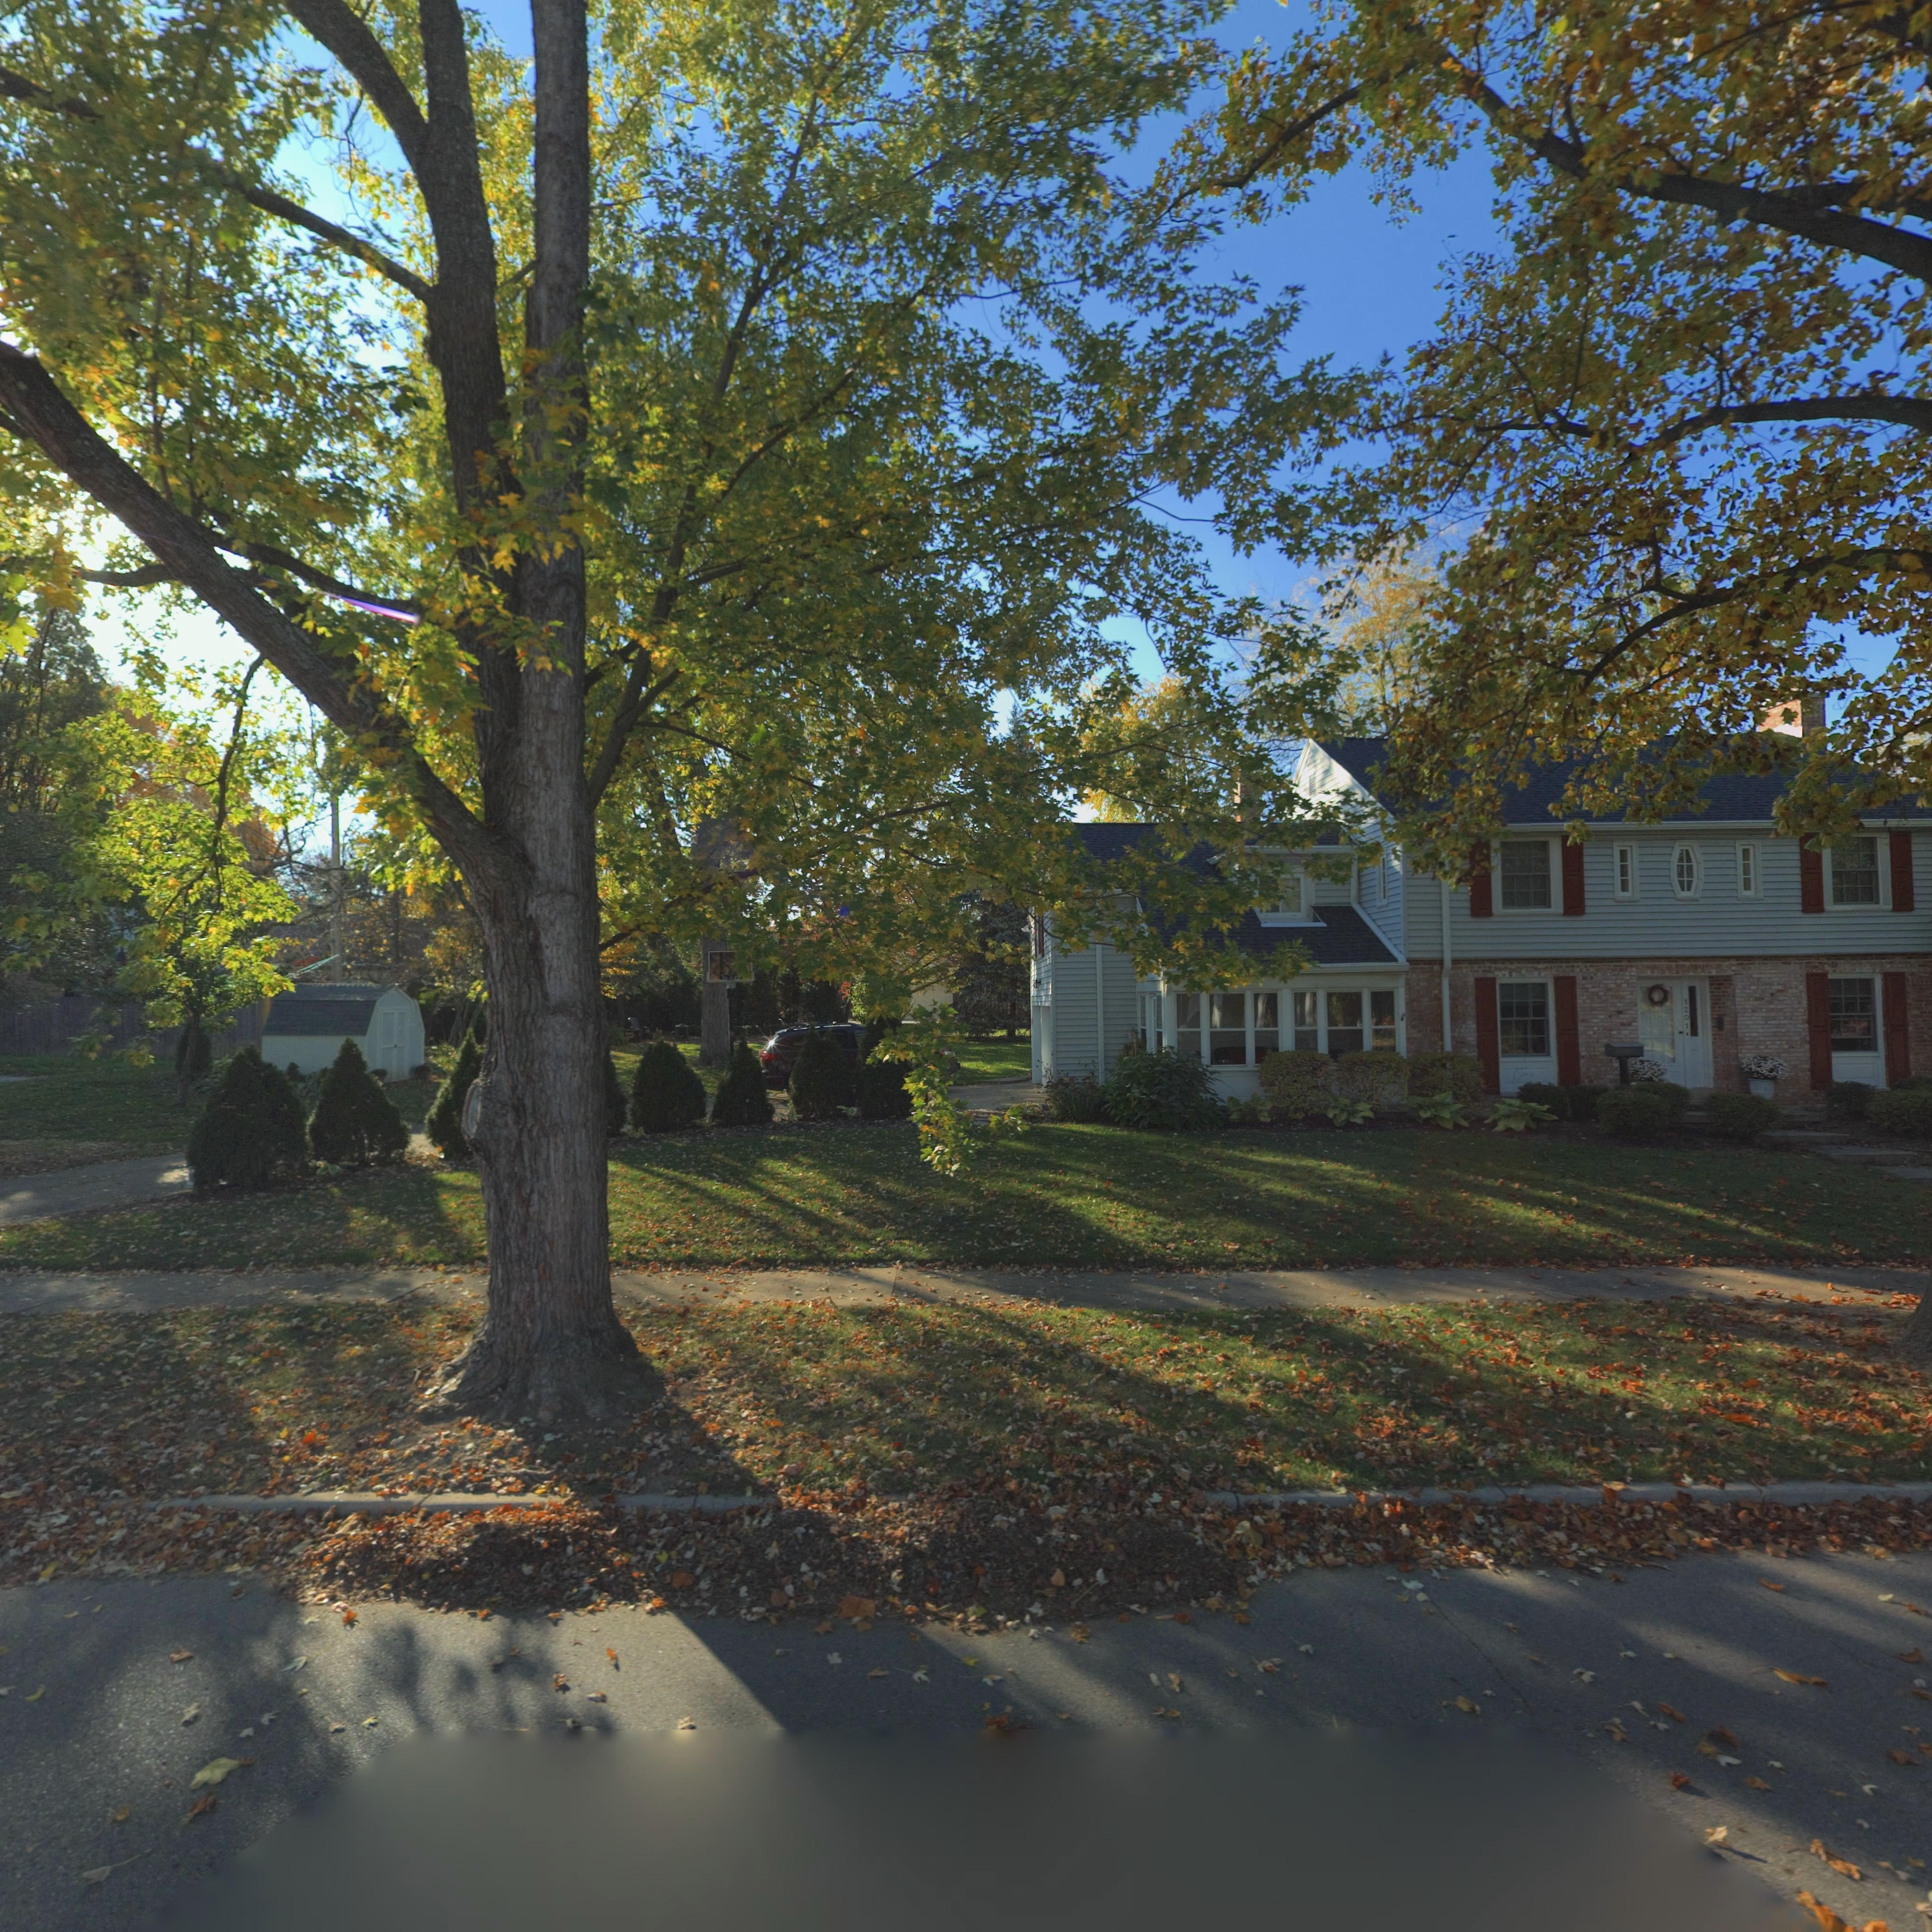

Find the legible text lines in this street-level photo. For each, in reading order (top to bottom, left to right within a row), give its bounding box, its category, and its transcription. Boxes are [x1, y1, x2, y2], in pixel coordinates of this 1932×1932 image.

[1683, 998, 1690, 1029] StreetNumber: 1201